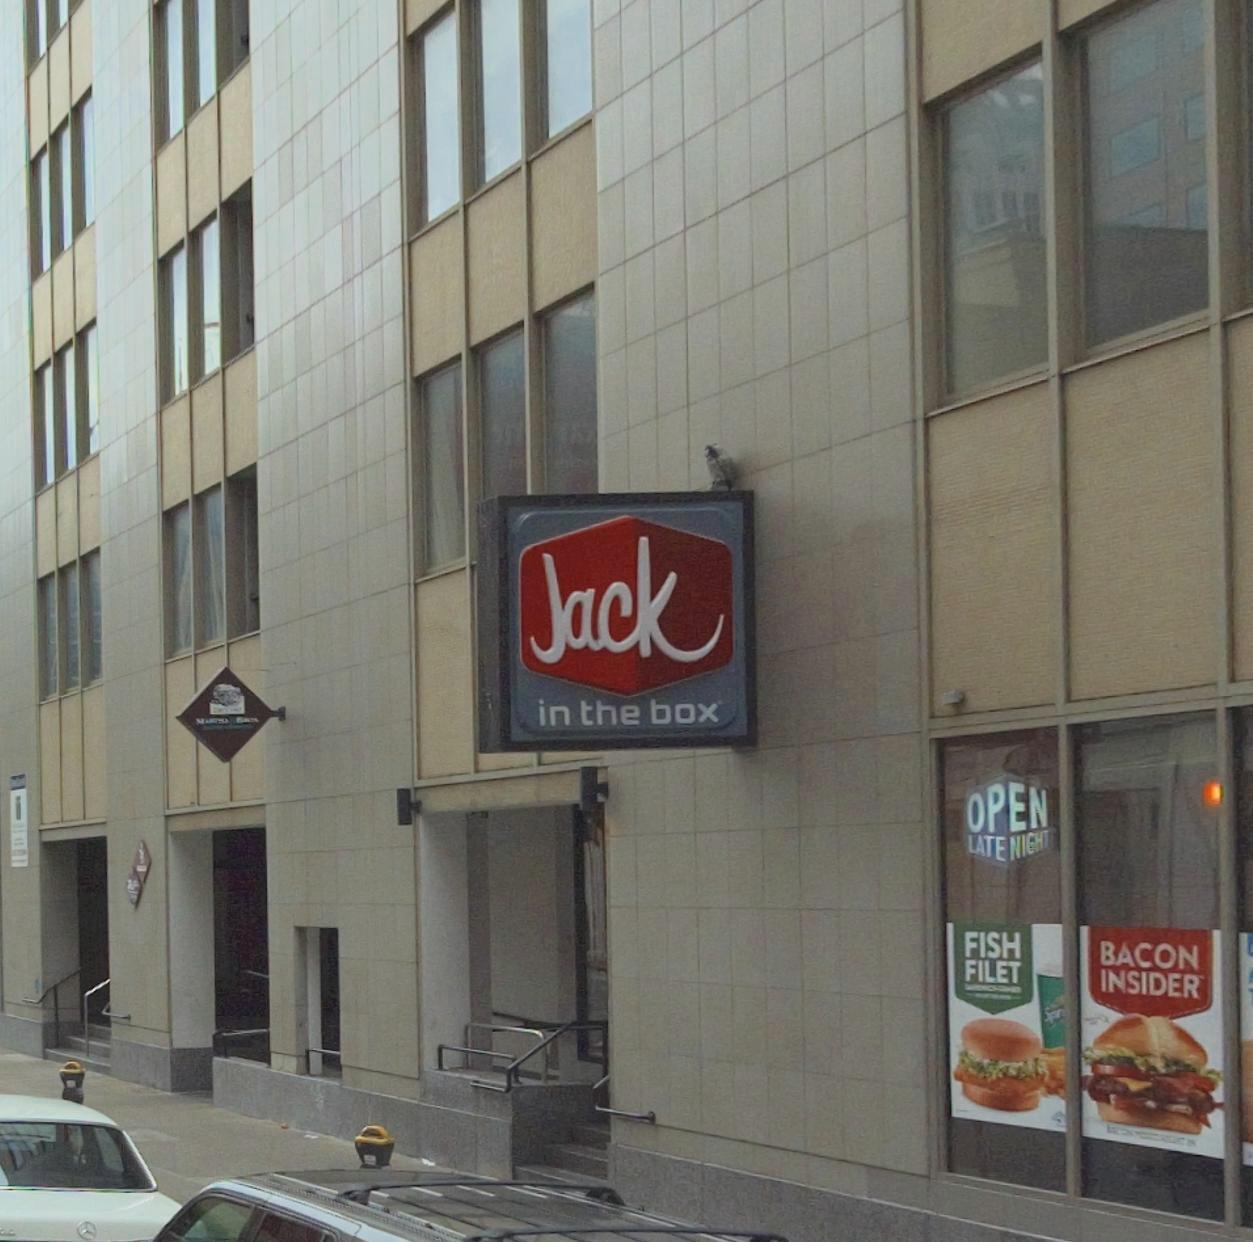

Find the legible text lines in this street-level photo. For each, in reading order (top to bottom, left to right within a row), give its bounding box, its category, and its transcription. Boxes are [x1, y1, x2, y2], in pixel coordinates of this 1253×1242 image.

[524, 530, 729, 670] BusinessName: Jack in the Box
[534, 693, 724, 731] BusinessName: in the box
[962, 772, 1051, 836] None: OPEN
[964, 827, 1054, 868] None: LATE NIGHT
[961, 928, 1024, 960] None: FISH
[962, 957, 1024, 986] None: FILET
[1096, 937, 1202, 973] None: BACON
[1098, 966, 1205, 1003] None: INSIDER